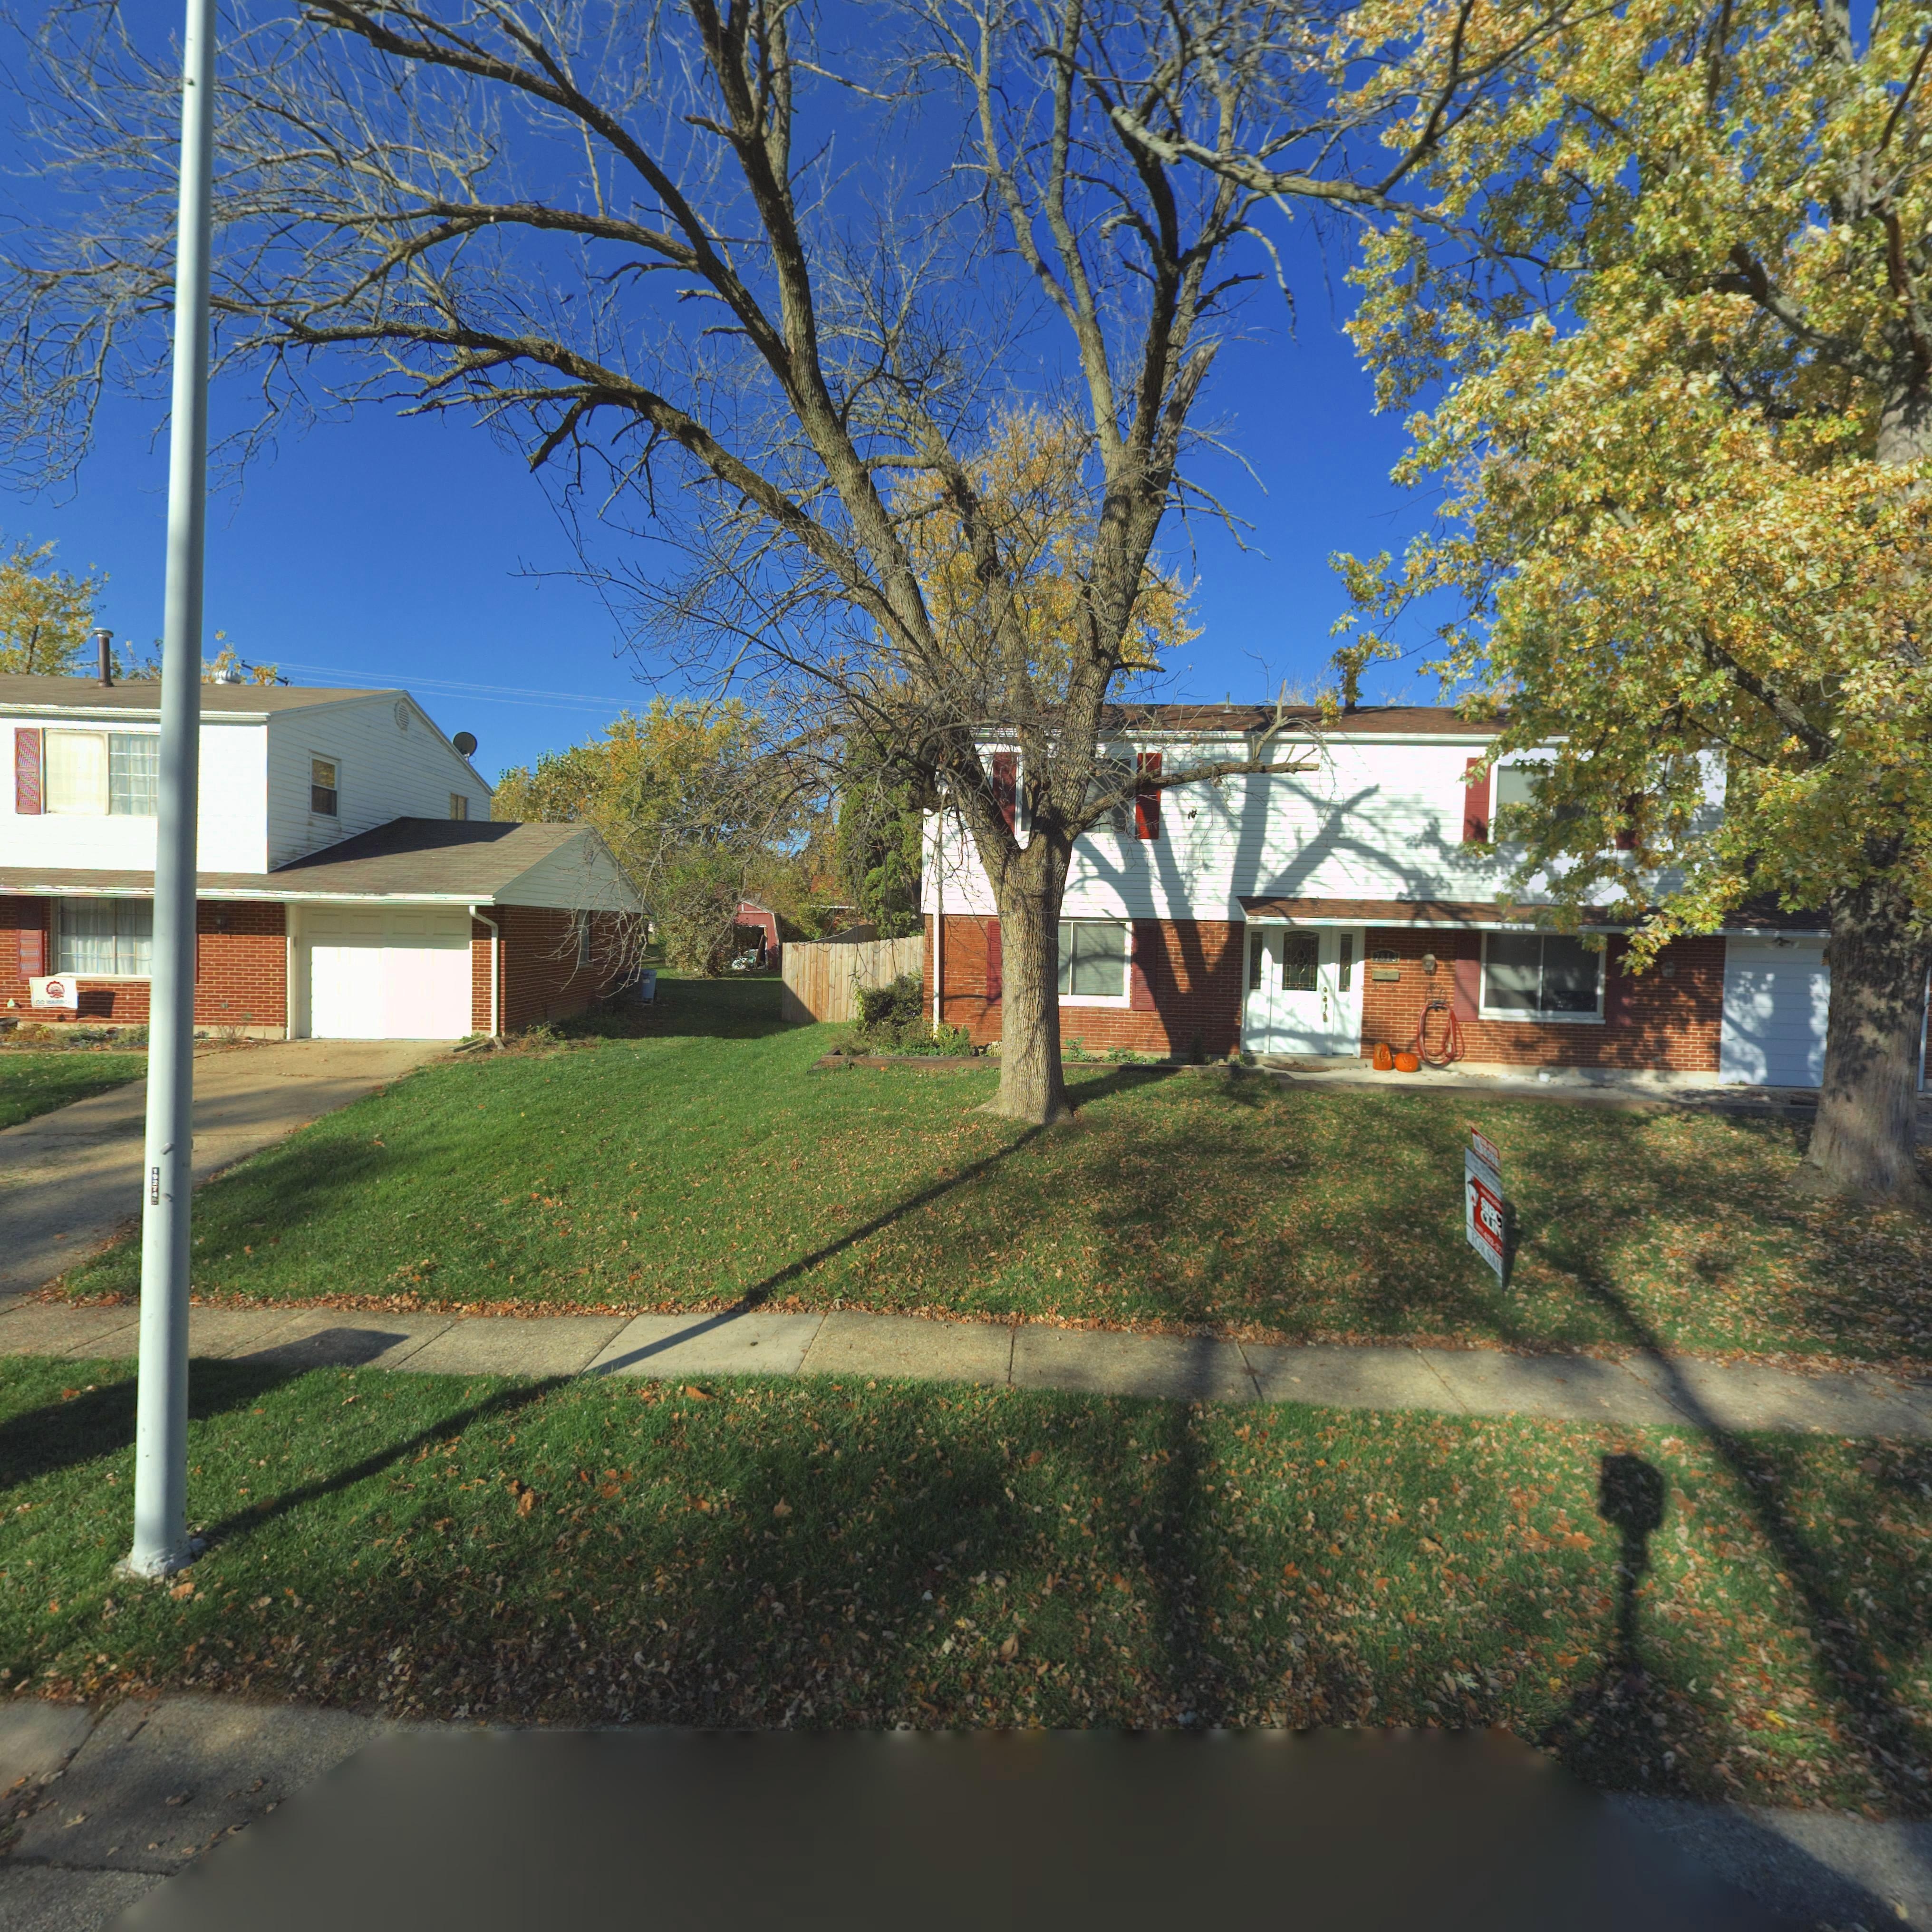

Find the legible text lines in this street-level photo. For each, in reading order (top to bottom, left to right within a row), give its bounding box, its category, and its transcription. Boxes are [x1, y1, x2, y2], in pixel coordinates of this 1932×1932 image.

[1374, 953, 1398, 962] StreetNumber: 7813